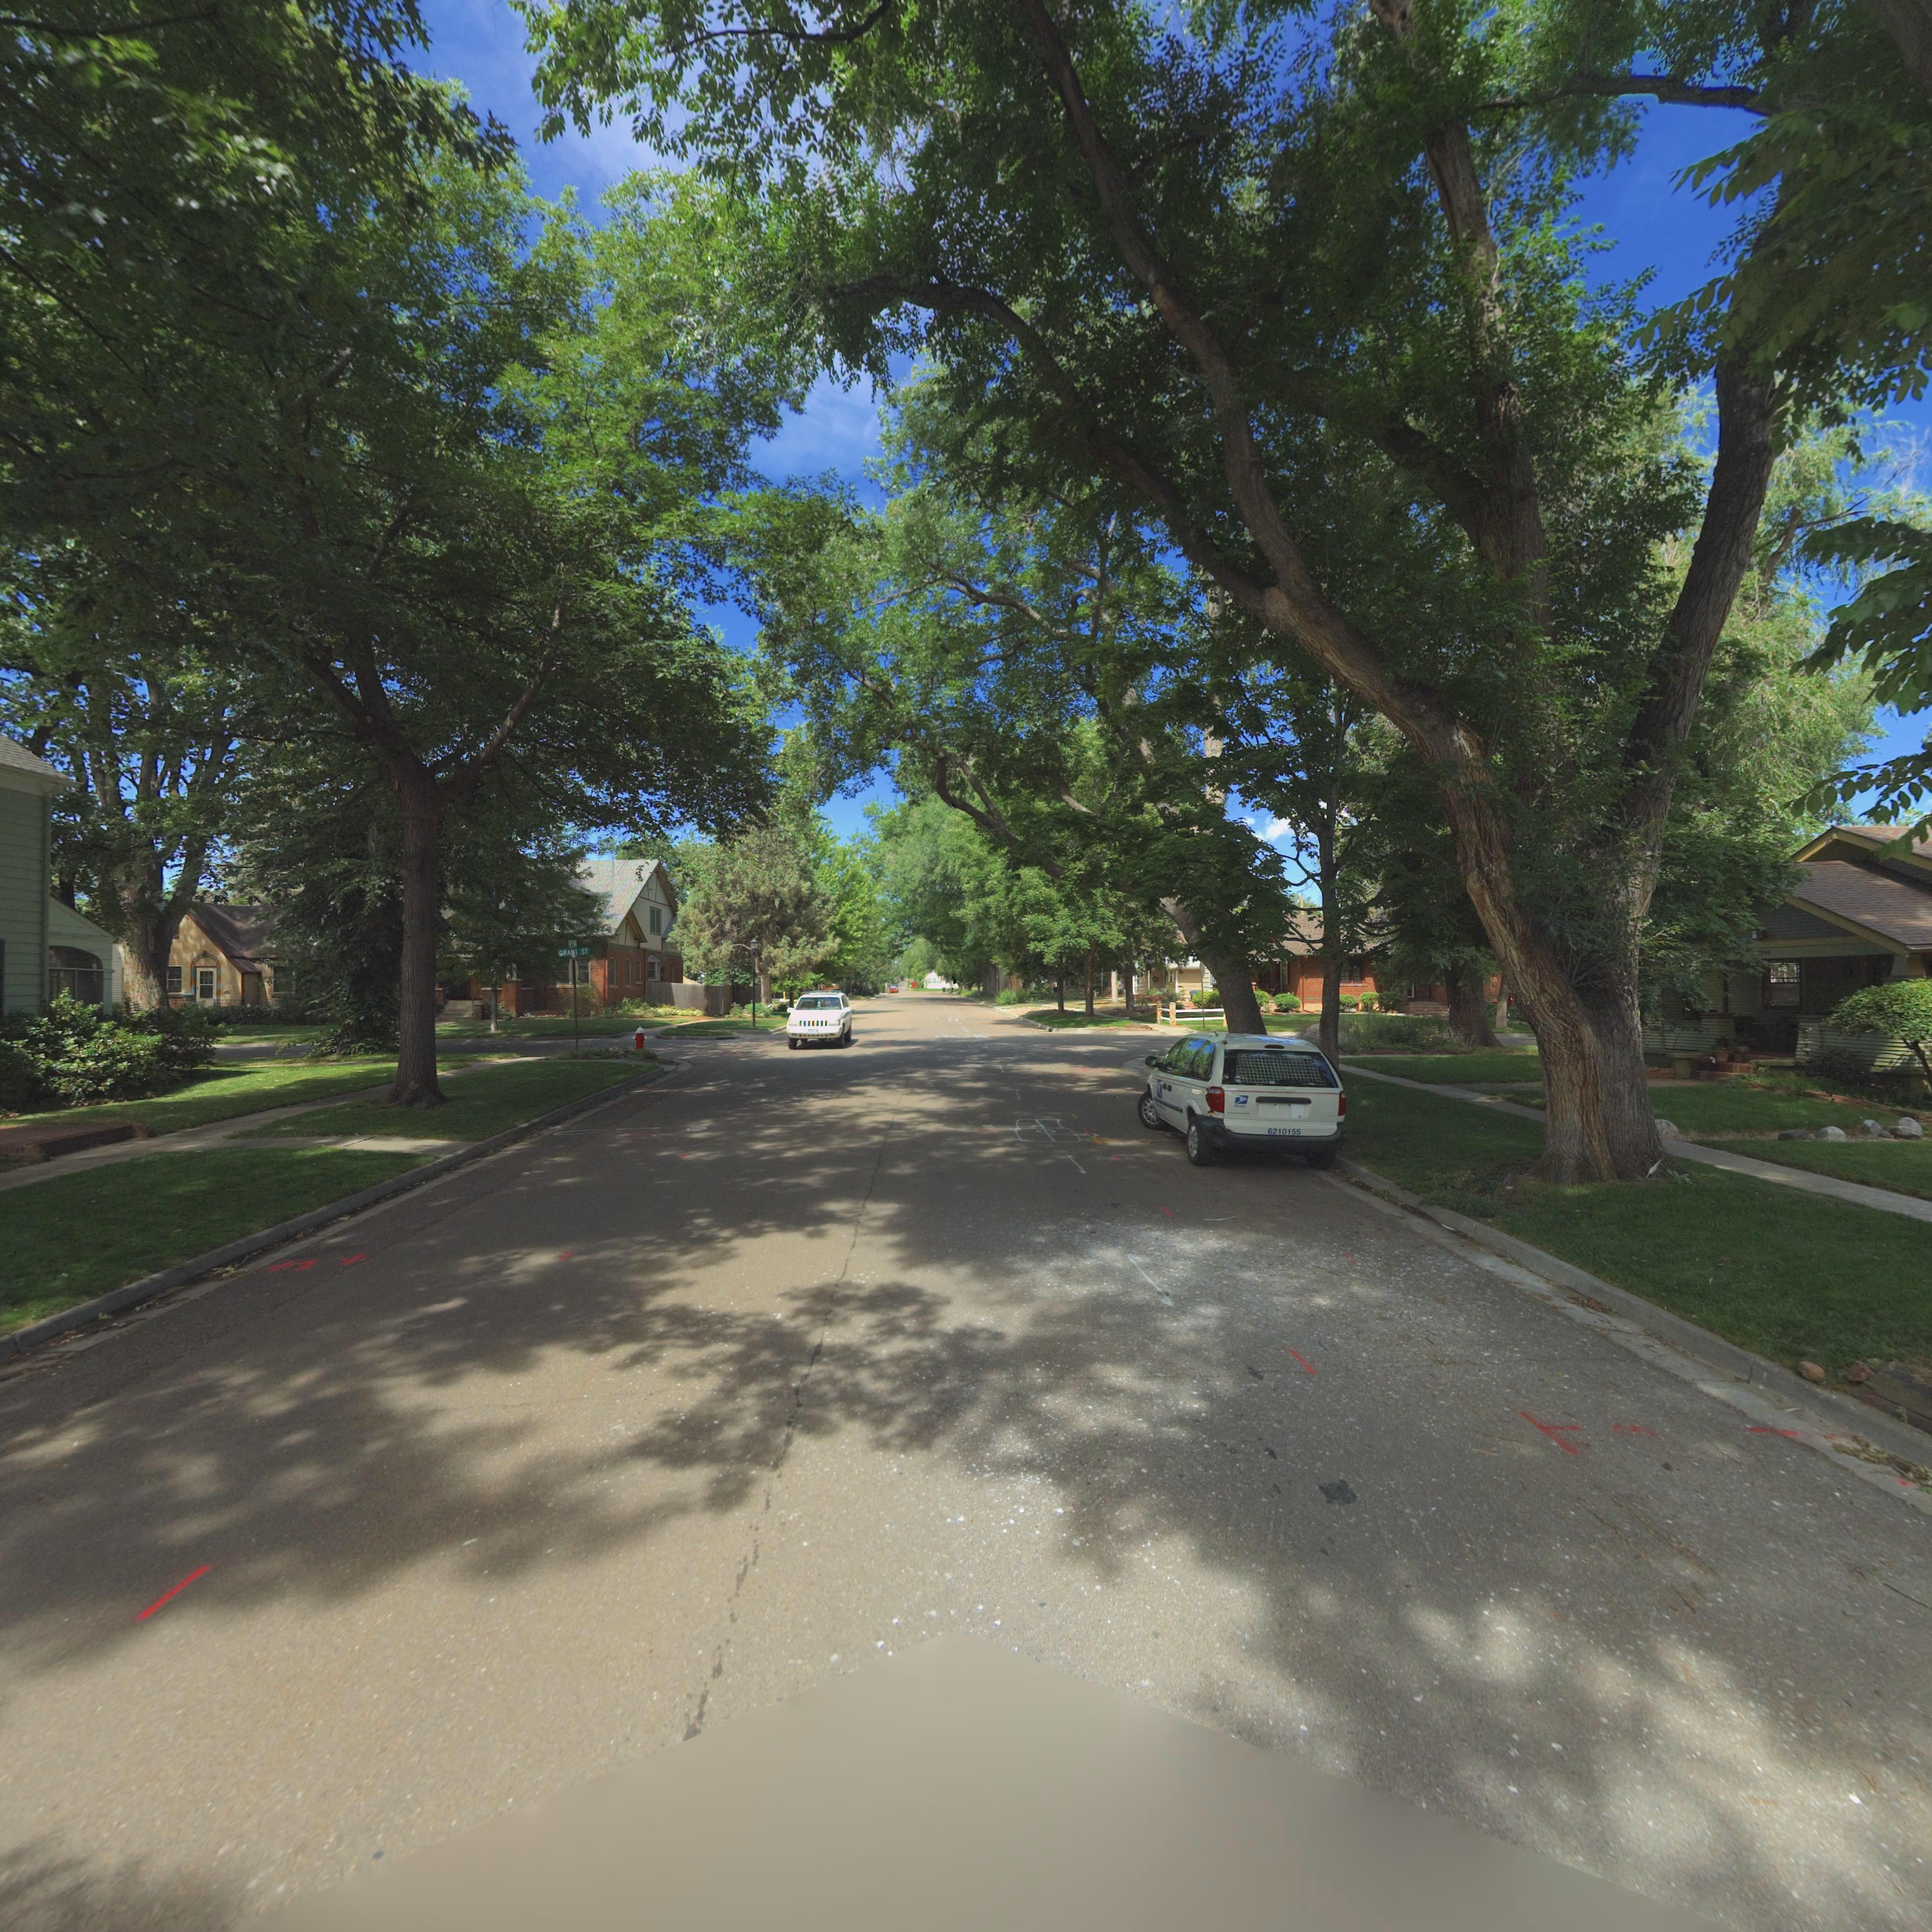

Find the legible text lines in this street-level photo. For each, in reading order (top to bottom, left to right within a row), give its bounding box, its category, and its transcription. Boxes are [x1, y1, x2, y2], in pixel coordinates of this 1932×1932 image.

[559, 948, 588, 956] StreetName: GRANT ST
[1757, 949, 1771, 956] StreetNumber: *216